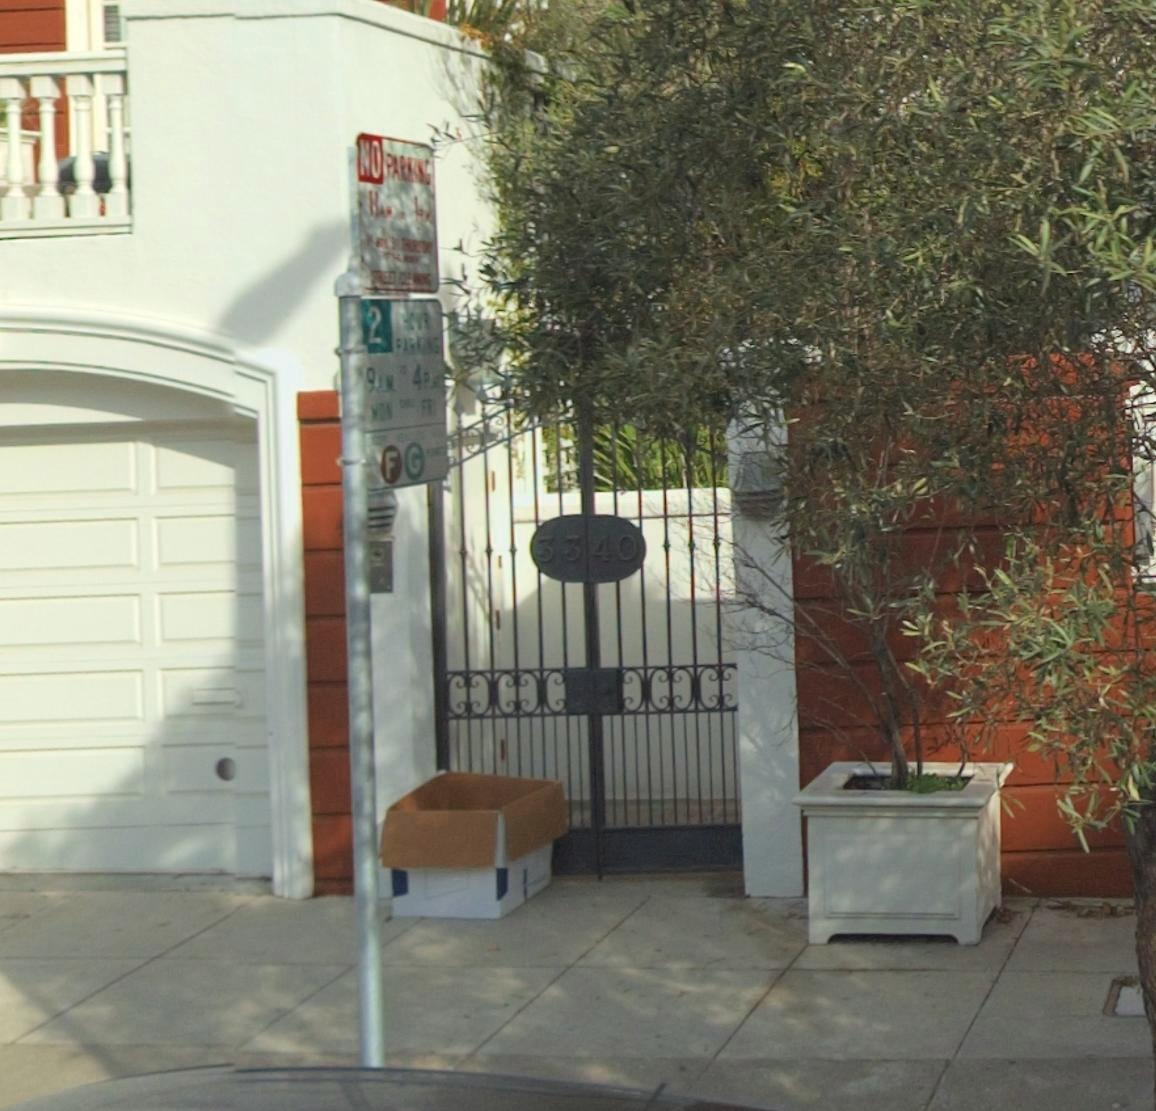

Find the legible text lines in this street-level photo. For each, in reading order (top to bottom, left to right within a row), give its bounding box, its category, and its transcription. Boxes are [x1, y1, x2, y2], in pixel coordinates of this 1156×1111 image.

[357, 134, 435, 190] None: NO PARKING
[363, 302, 386, 348] None: 2
[361, 363, 400, 397] None: 9AM
[408, 359, 433, 396] None: 4P
[382, 447, 402, 484] None: F
[405, 442, 427, 479] None: G
[536, 532, 639, 565] StreetNumber: 3340